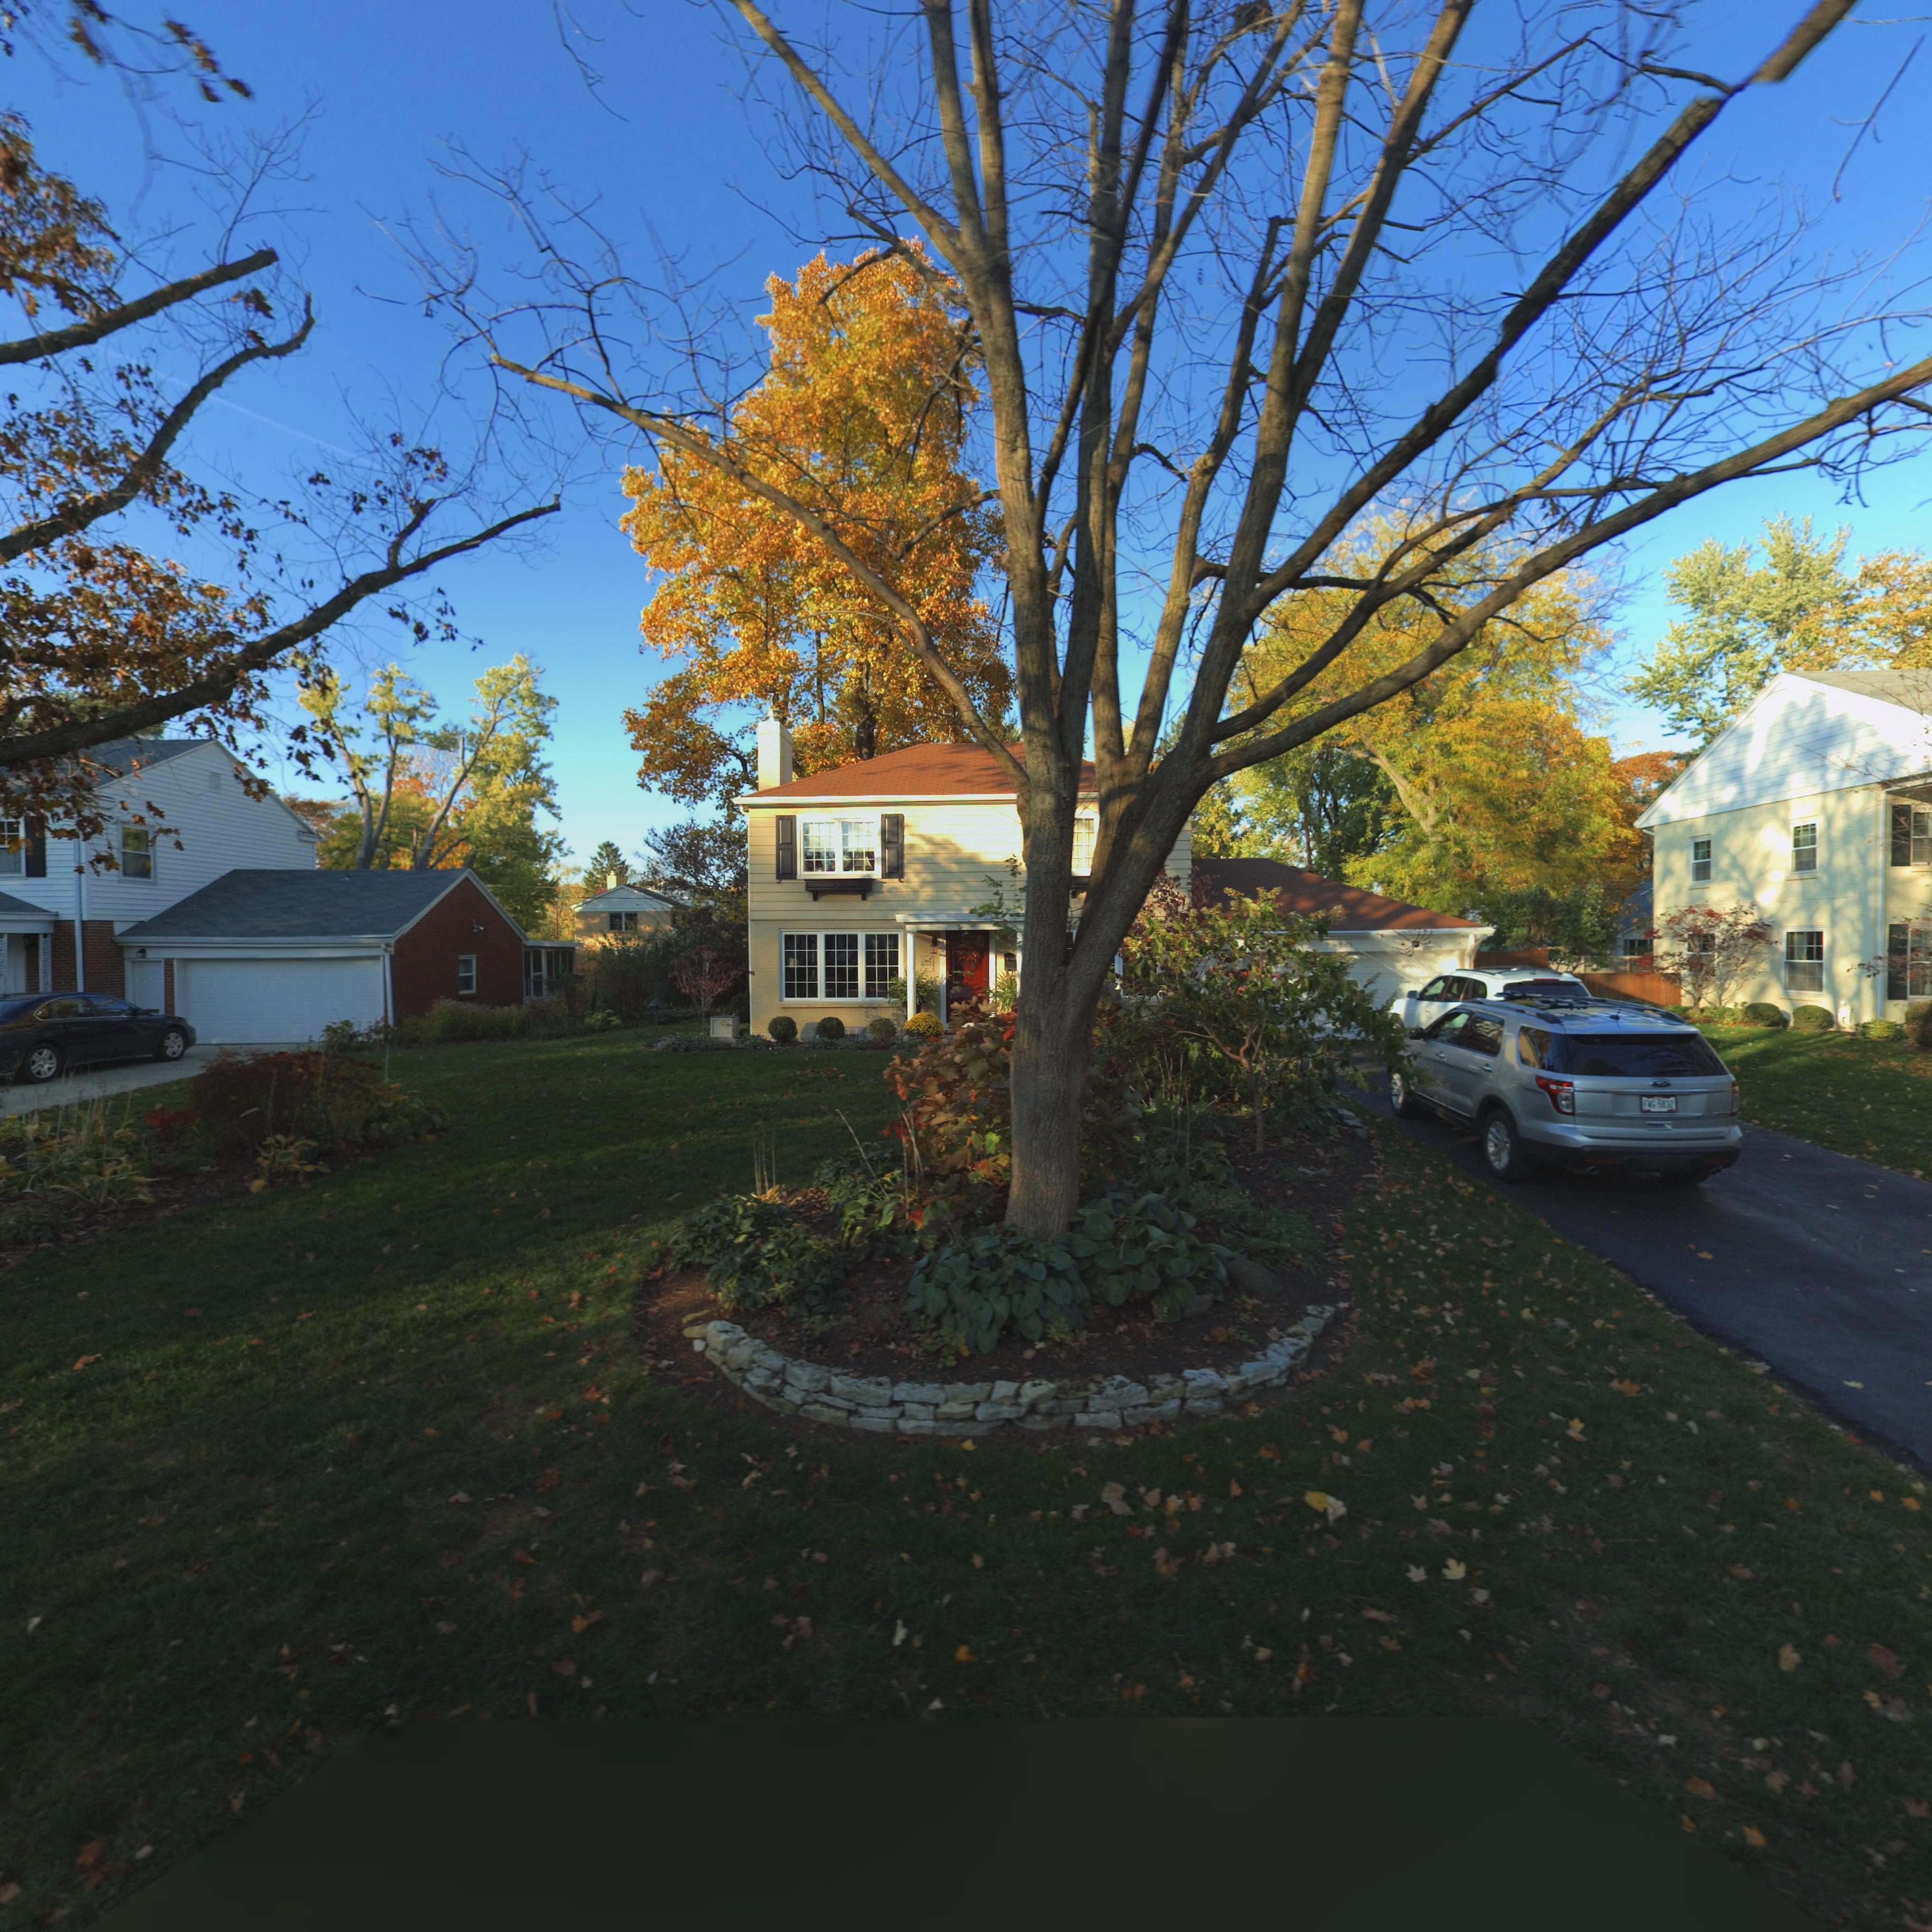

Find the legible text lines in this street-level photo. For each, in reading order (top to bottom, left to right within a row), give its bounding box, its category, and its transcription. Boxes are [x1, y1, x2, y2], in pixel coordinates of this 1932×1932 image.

[1338, 941, 1354, 949] StreetNumber: 365